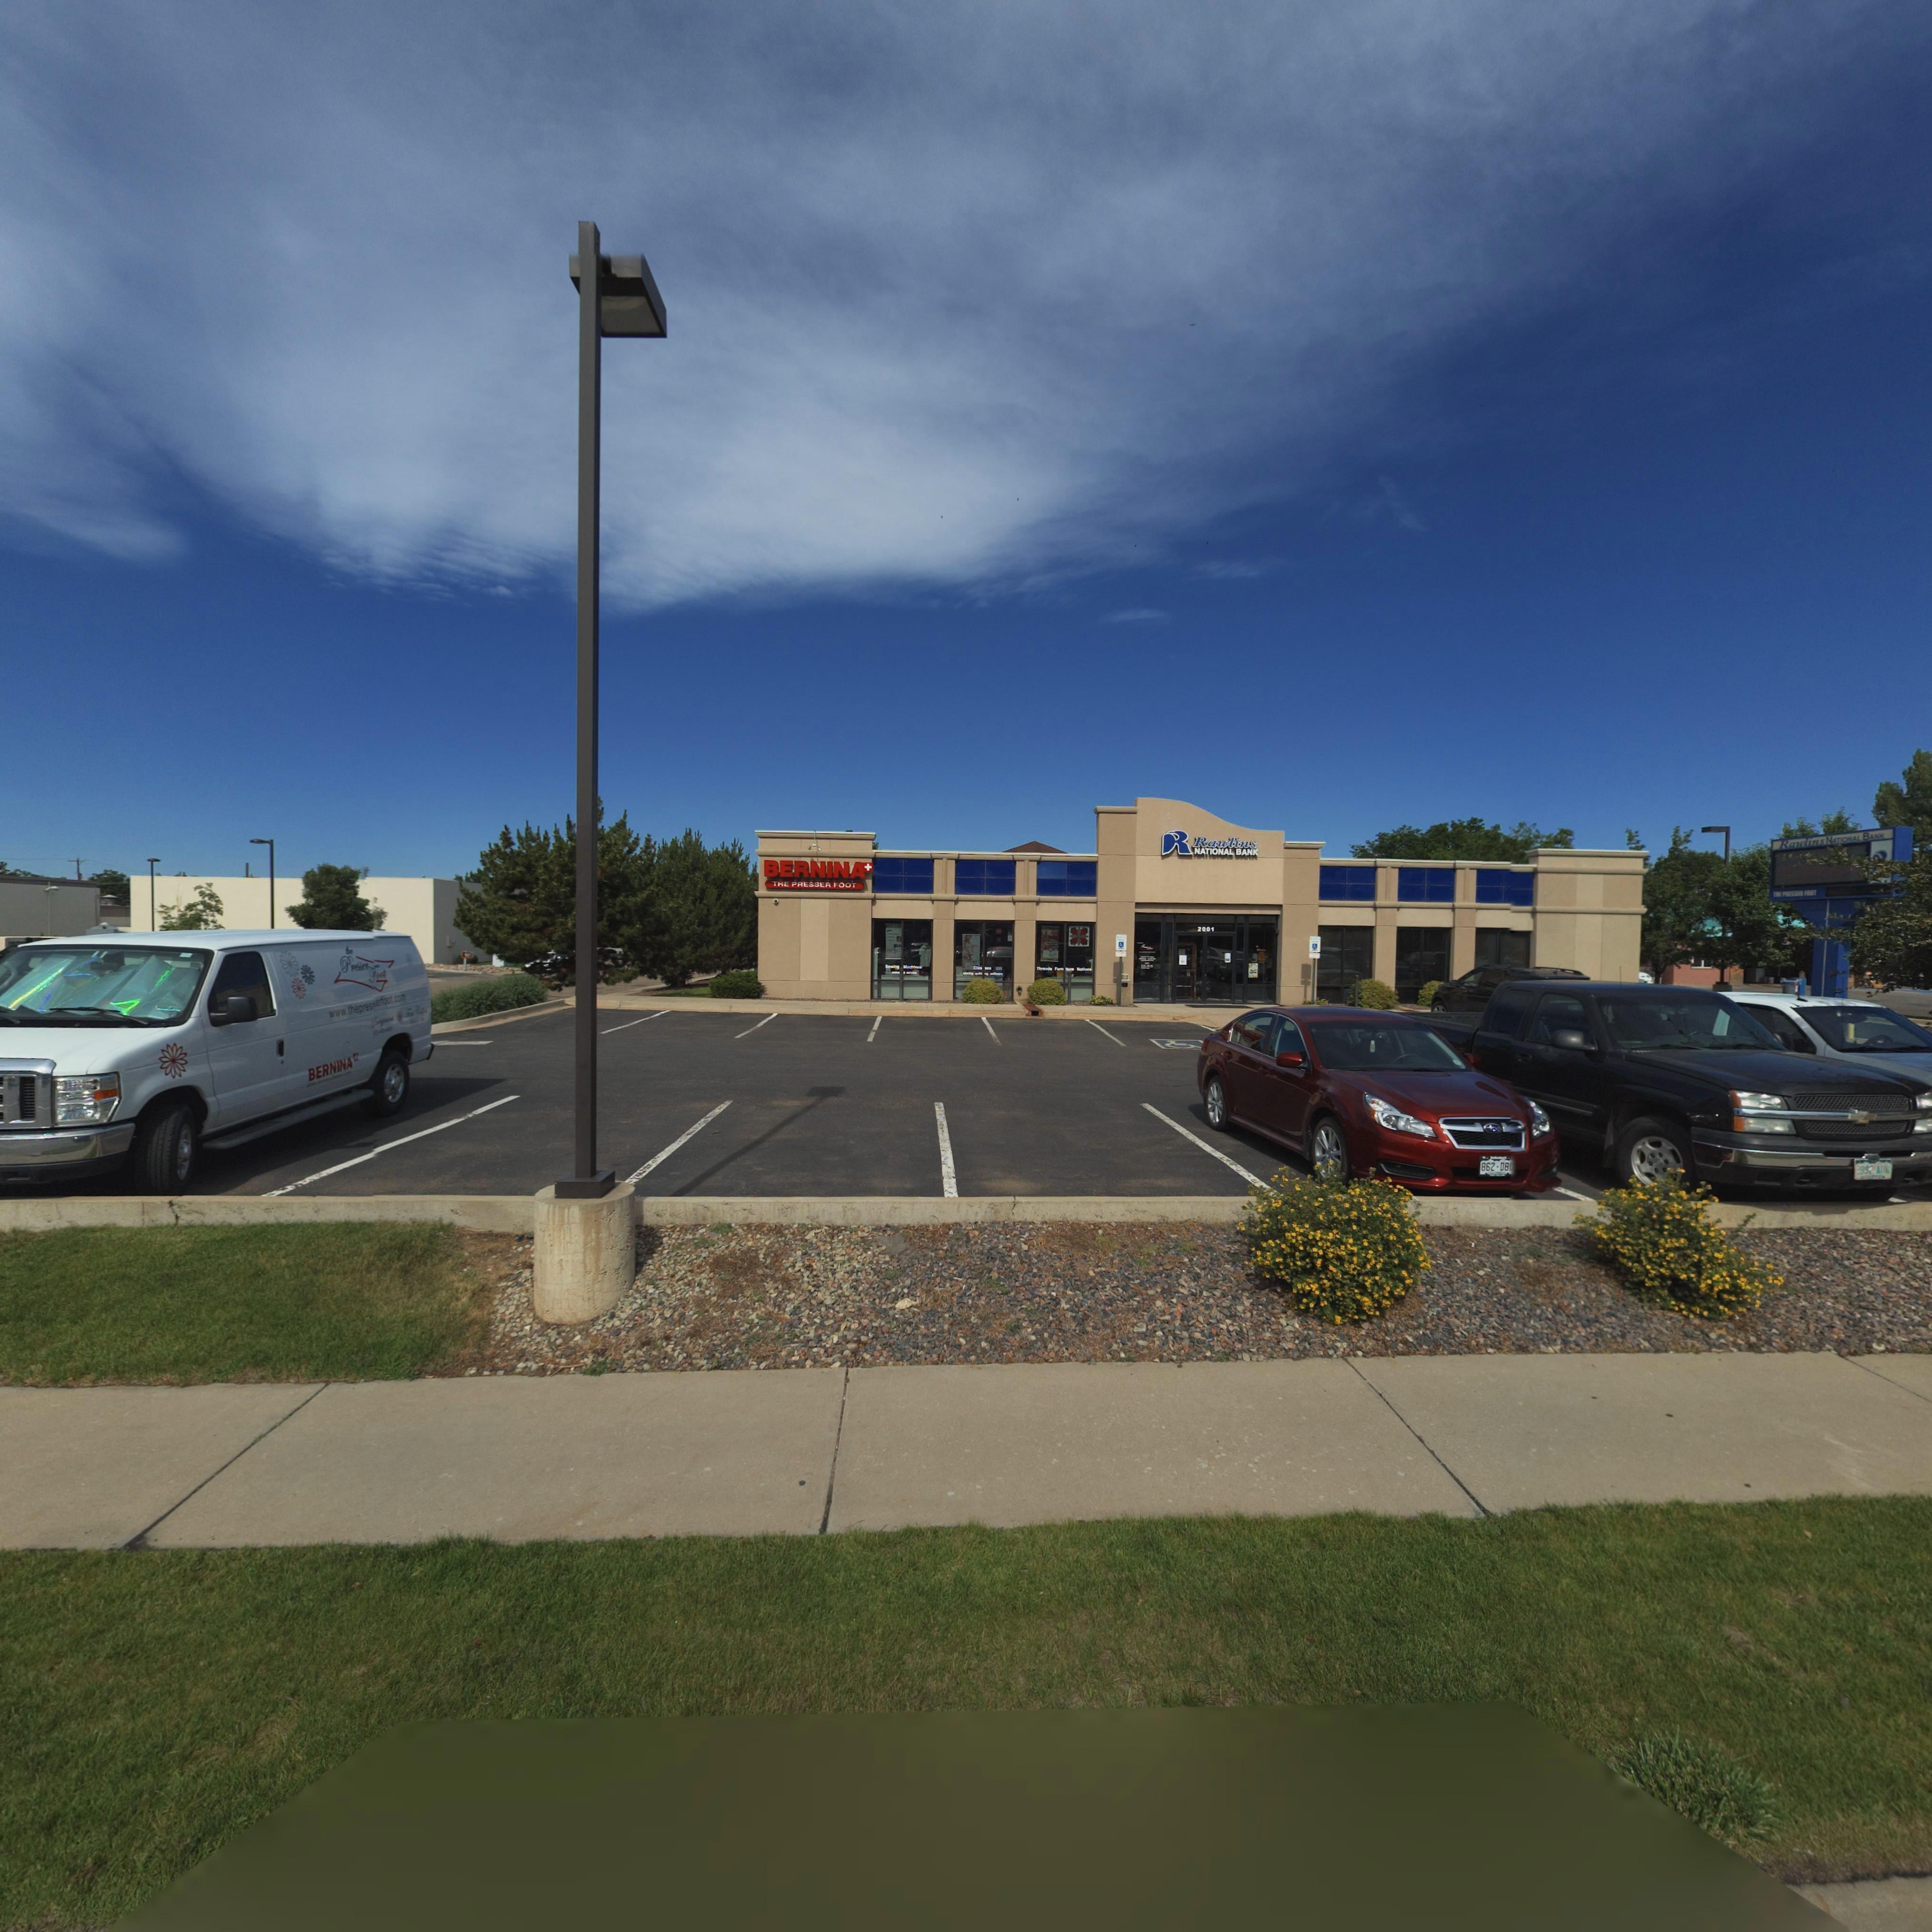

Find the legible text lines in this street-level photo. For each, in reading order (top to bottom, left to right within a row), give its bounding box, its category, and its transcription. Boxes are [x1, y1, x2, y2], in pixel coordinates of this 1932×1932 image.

[1193, 837, 1256, 848] BusinessName: Rawlins
[1779, 832, 1885, 849] BusinessName: Ra*lins N*TIO*AL BAN*
[1194, 847, 1259, 856] BusinessName: NATIONAL BANK
[763, 859, 866, 879] BusinessName: BERNINA
[772, 881, 857, 888] BusinessName: THE PRESSER FOOT
[1773, 889, 1816, 897] BusinessName: **E P*ESS*R FO*T
[1197, 926, 1214, 932] StreetNumber: 2001